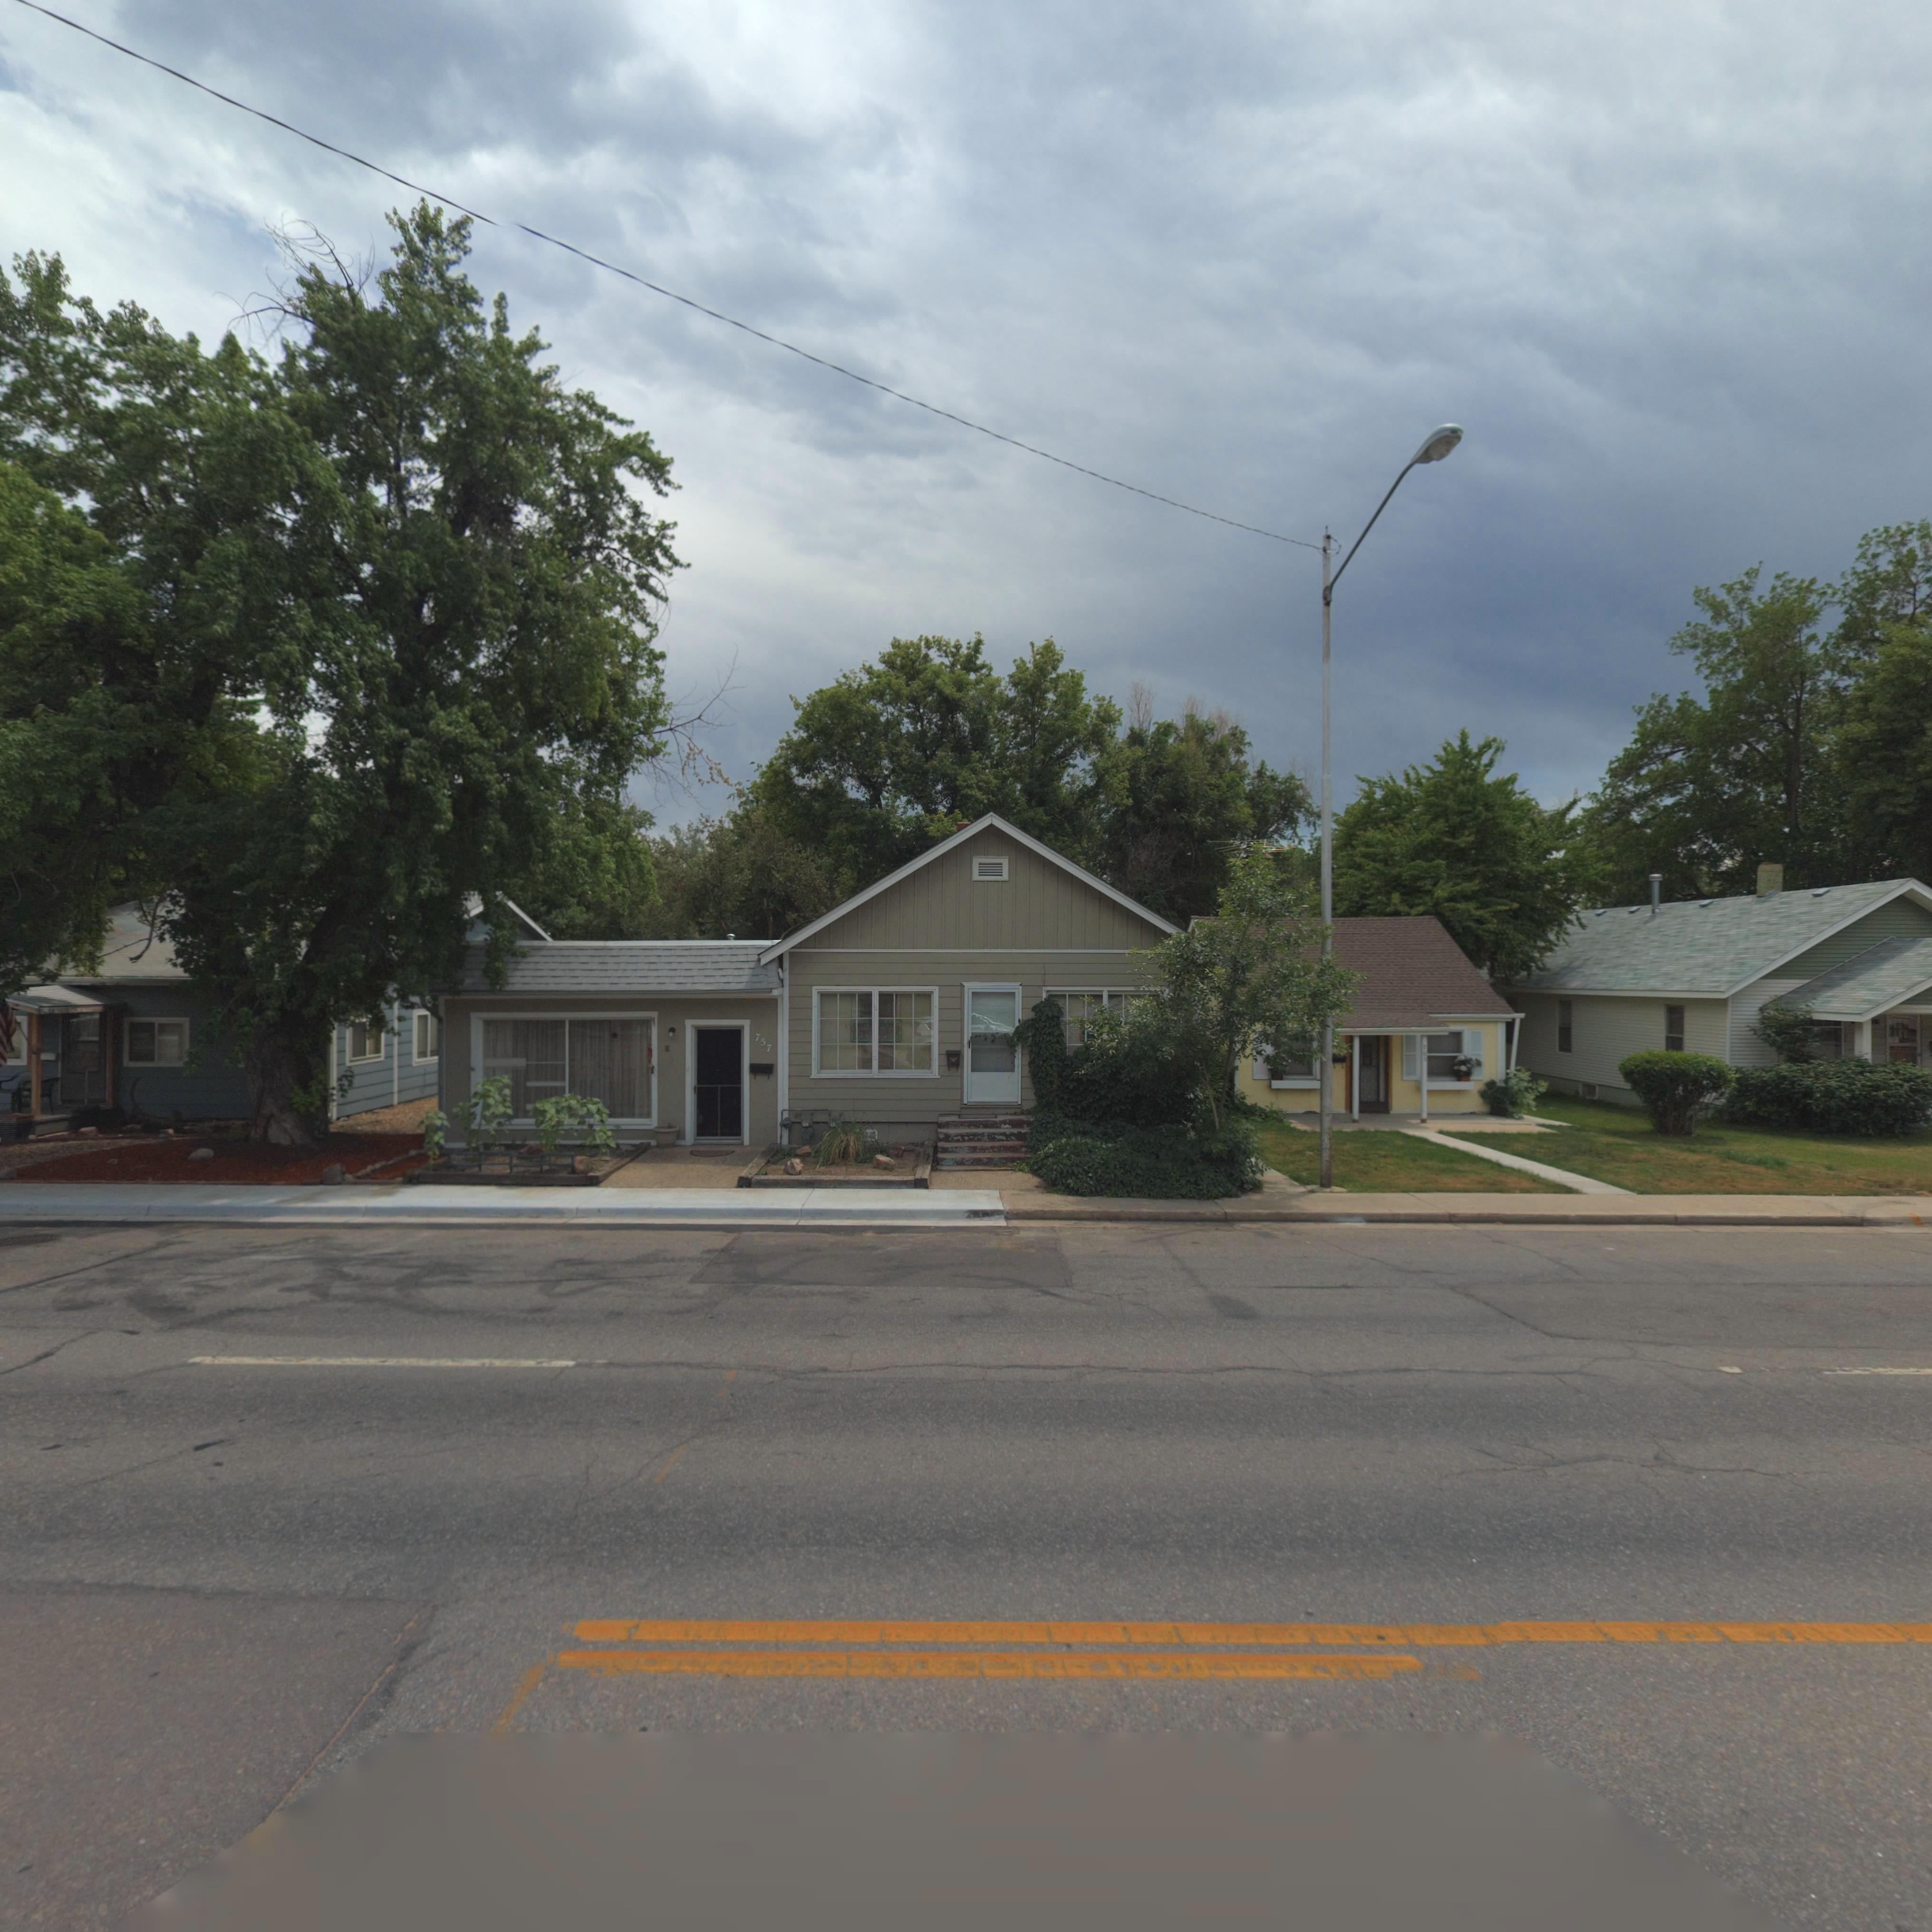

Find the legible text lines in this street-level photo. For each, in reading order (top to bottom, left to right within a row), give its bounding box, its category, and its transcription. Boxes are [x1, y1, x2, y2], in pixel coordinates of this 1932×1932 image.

[755, 1033, 772, 1052] StreetNumber: 757
[1422, 1044, 1427, 1062] StreetNumber: 761